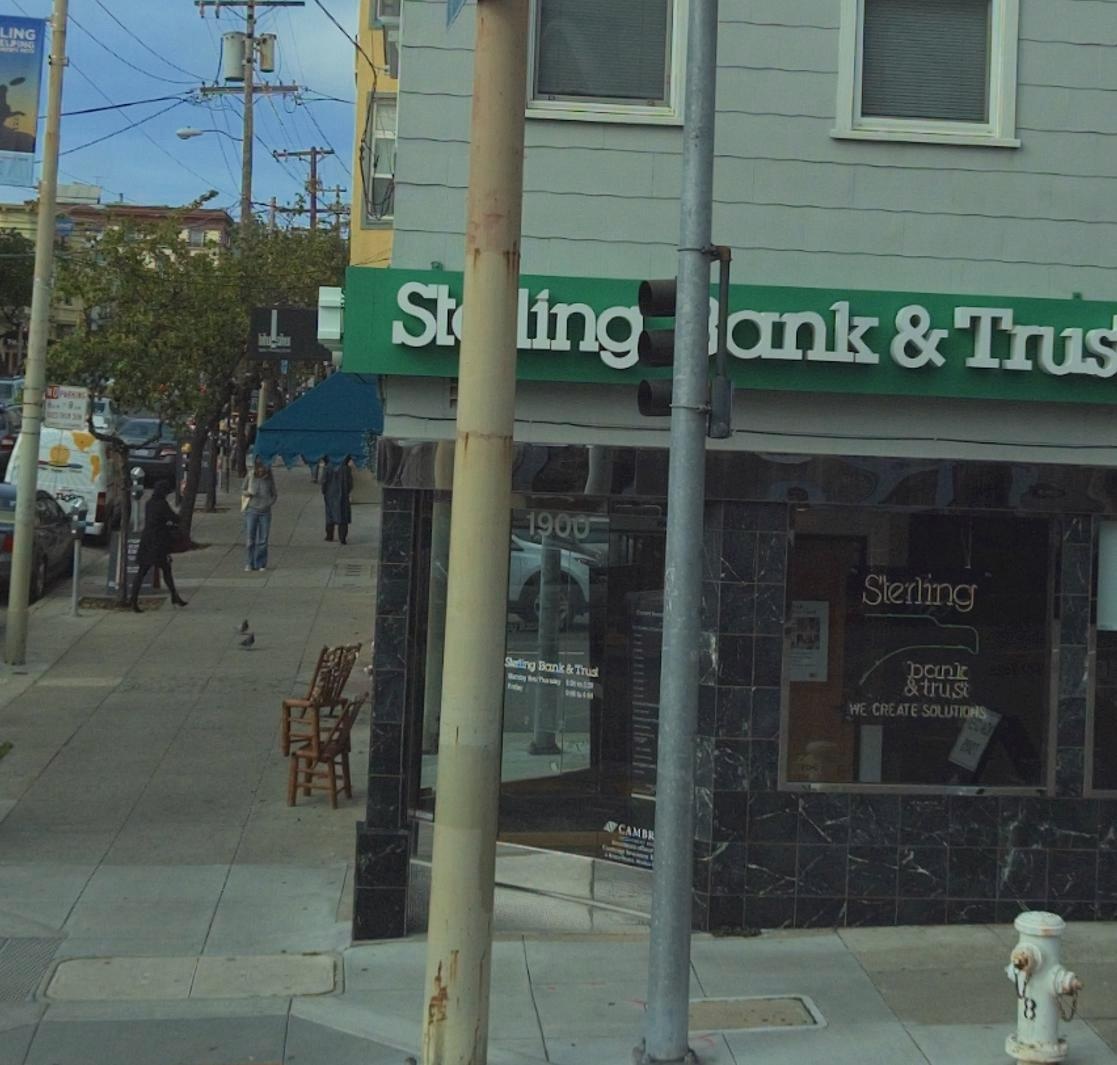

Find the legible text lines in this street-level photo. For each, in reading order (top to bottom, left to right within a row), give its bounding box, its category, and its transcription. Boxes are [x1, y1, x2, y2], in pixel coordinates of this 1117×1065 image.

[0, 24, 39, 44] None: LING
[388, 274, 458, 353] BusinessName: St
[514, 284, 648, 376] BusinessName: ling
[718, 295, 1117, 383] BusinessName: ank & Trus
[522, 506, 595, 543] StreetNumber: 1900
[859, 568, 980, 617] BusinessName: Sterling
[502, 652, 602, 681] BusinessName: S*e*ling Bank & Trust
[904, 657, 972, 683] BusinessName: bank
[918, 675, 973, 701] BusinessName: trust
[846, 699, 990, 722] None: WE CREATE SOLUTIONS
[615, 820, 658, 844] None: CAMBR